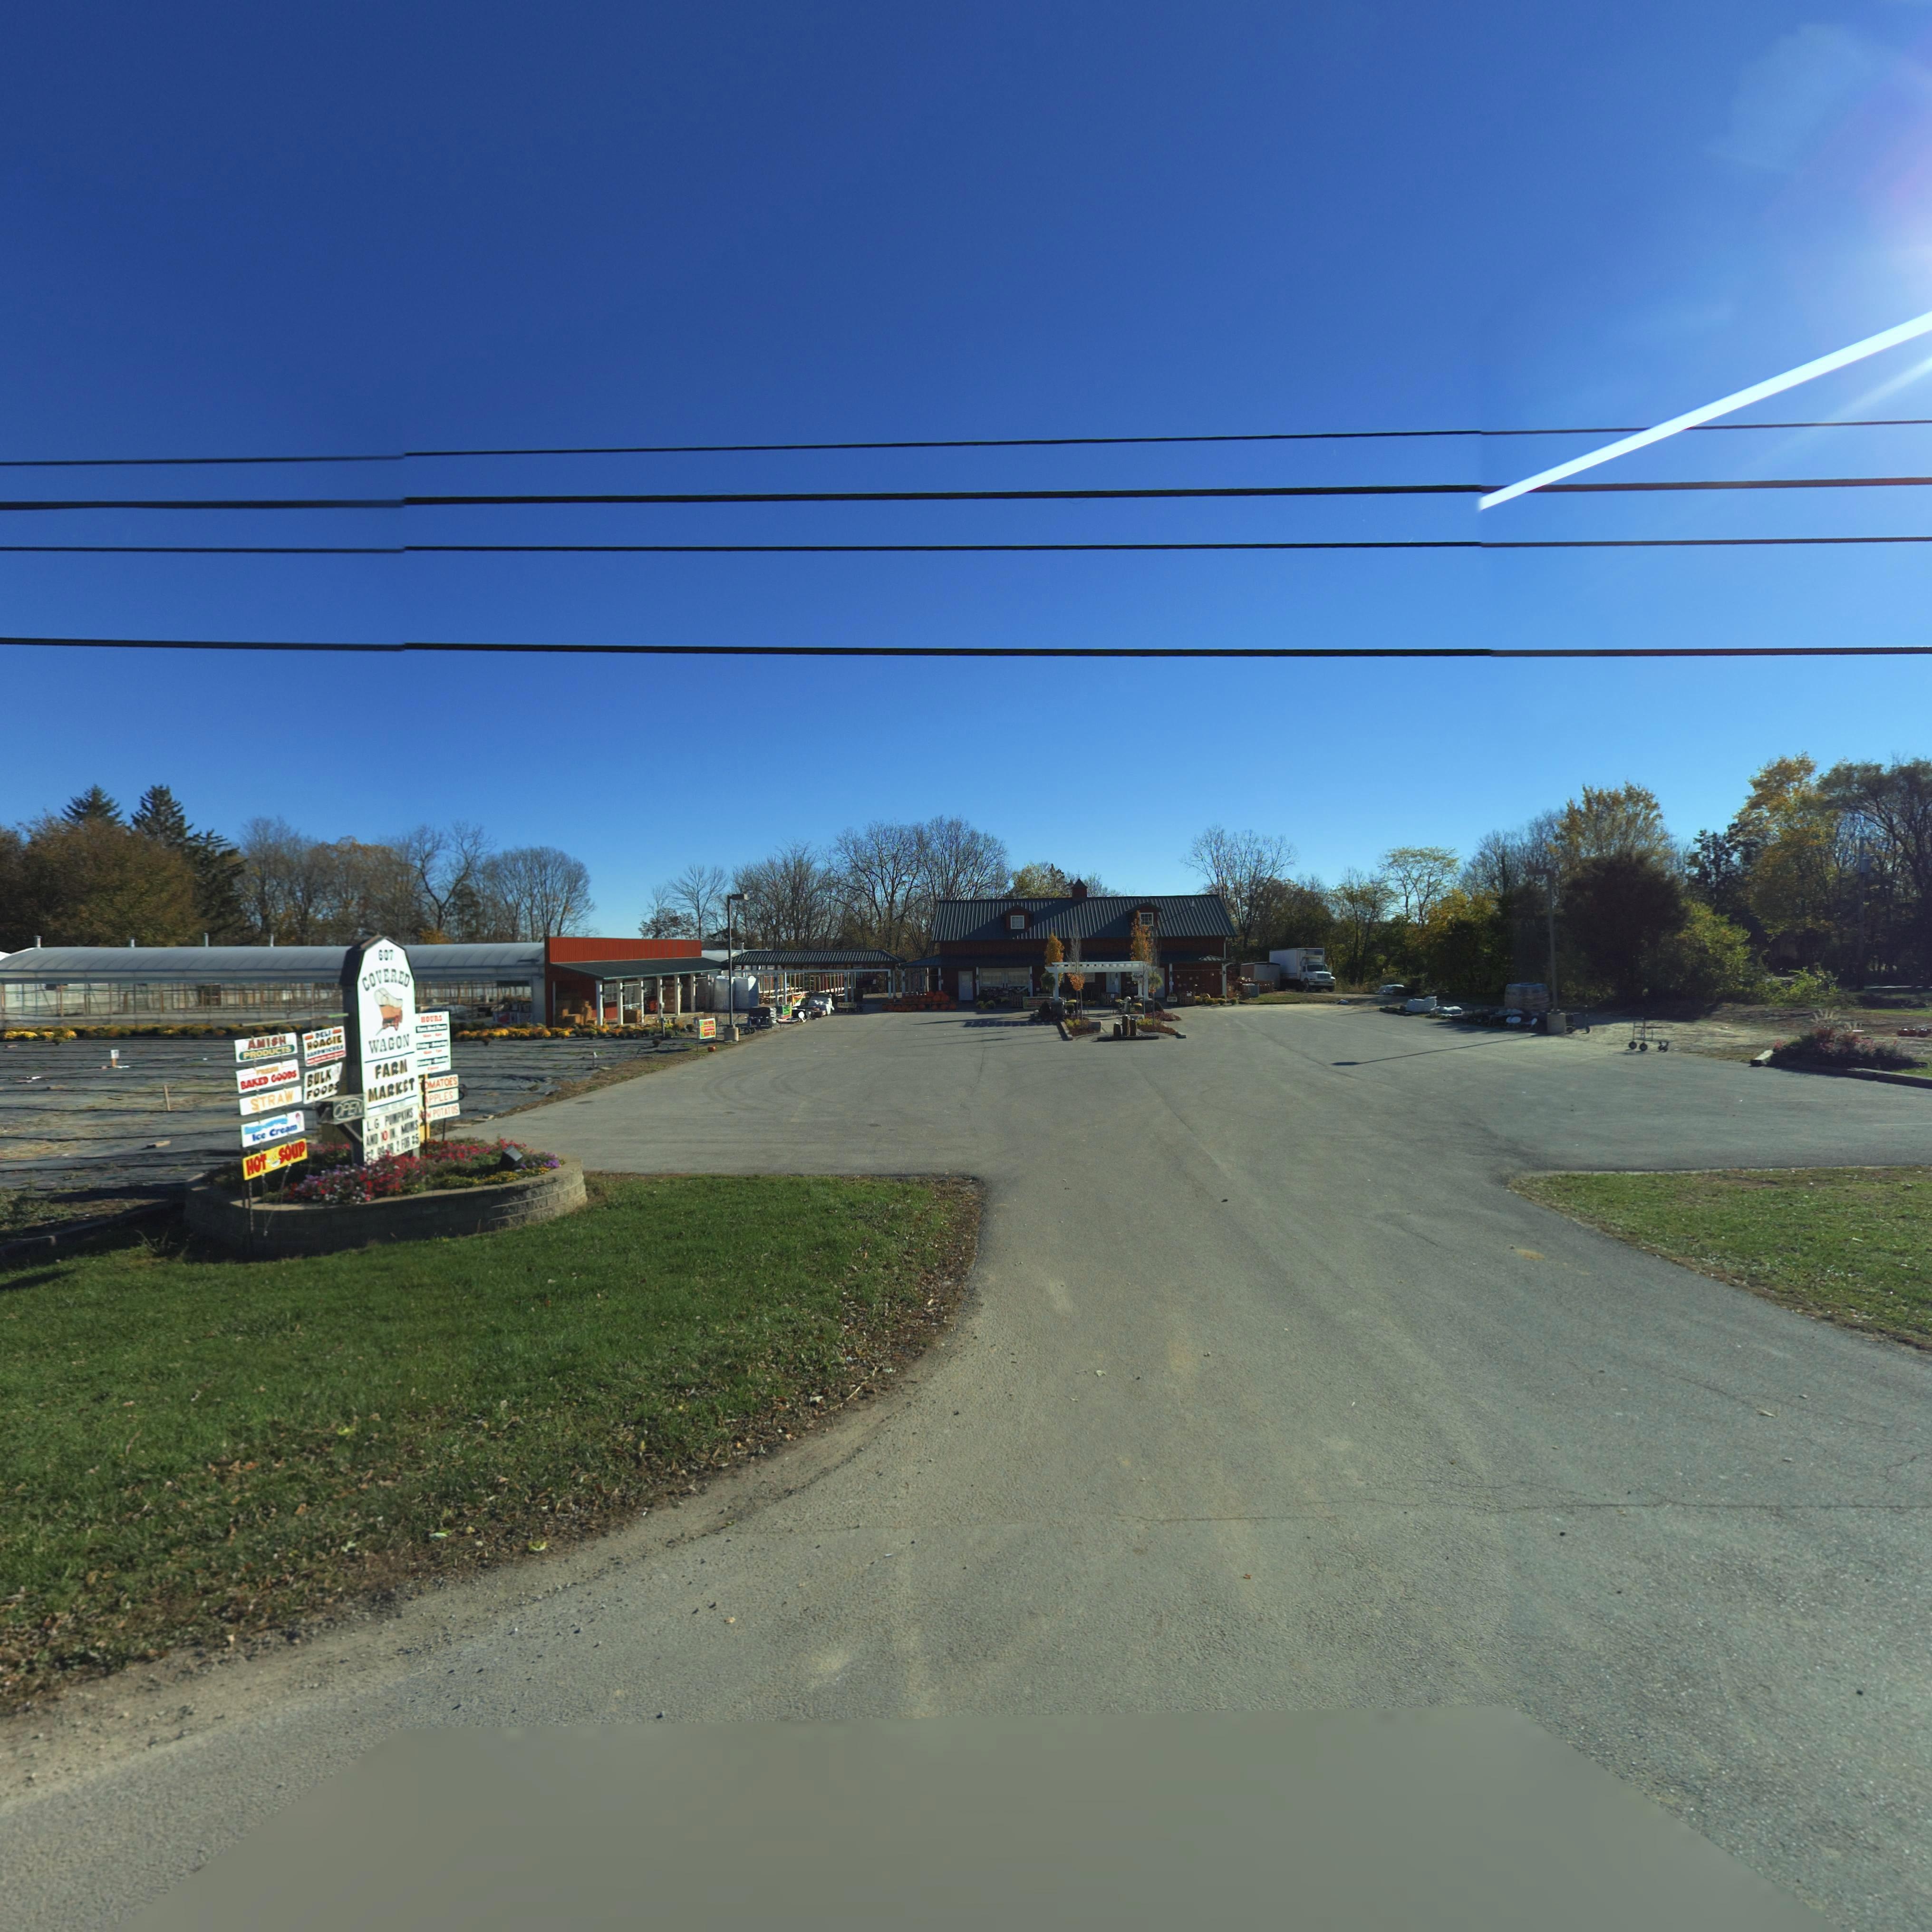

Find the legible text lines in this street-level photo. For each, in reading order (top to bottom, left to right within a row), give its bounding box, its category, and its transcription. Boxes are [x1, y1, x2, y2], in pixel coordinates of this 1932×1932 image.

[378, 949, 394, 961] StreetNumber: 607
[362, 967, 411, 993] None: COVERED
[367, 1032, 411, 1056] None: WAGON
[372, 1057, 409, 1080] None: FARM
[367, 1076, 415, 1104] None: MARKET